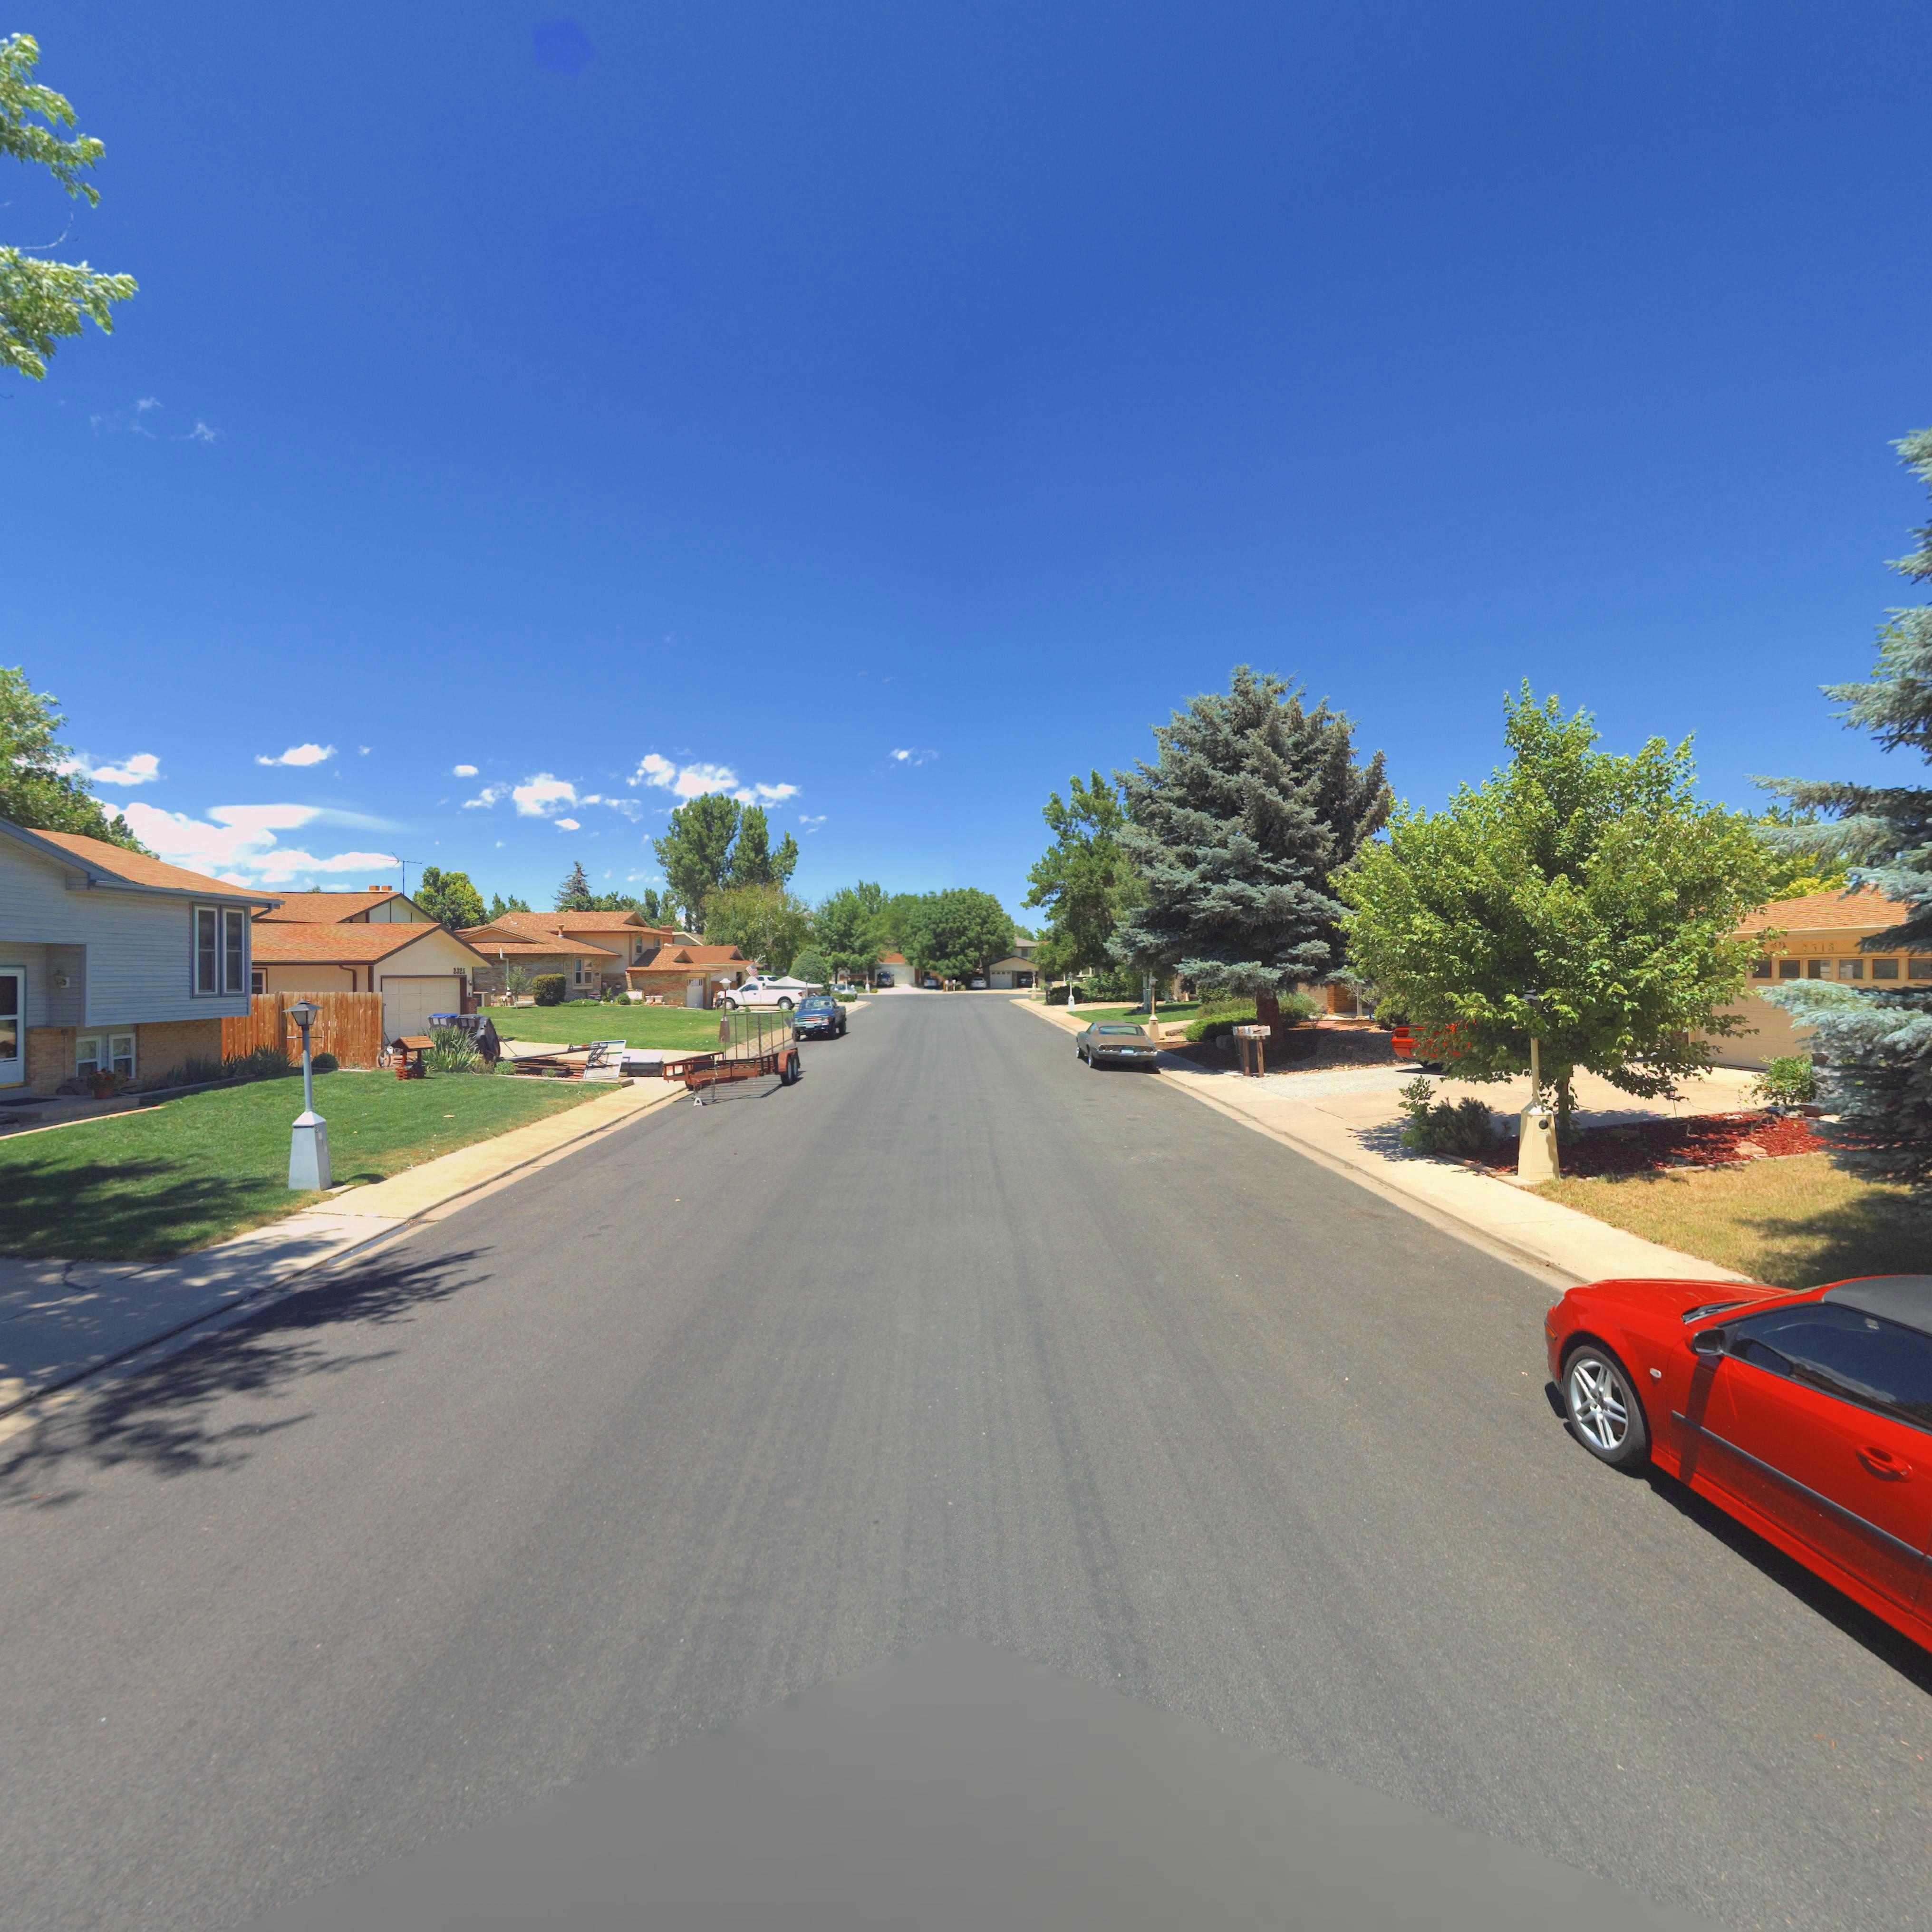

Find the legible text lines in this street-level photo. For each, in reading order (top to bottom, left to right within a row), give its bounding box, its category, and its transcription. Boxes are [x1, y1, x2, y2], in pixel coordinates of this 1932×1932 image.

[1801, 943, 1834, 953] StreetNumber: 2318
[453, 966, 465, 974] StreetNumber: 2325